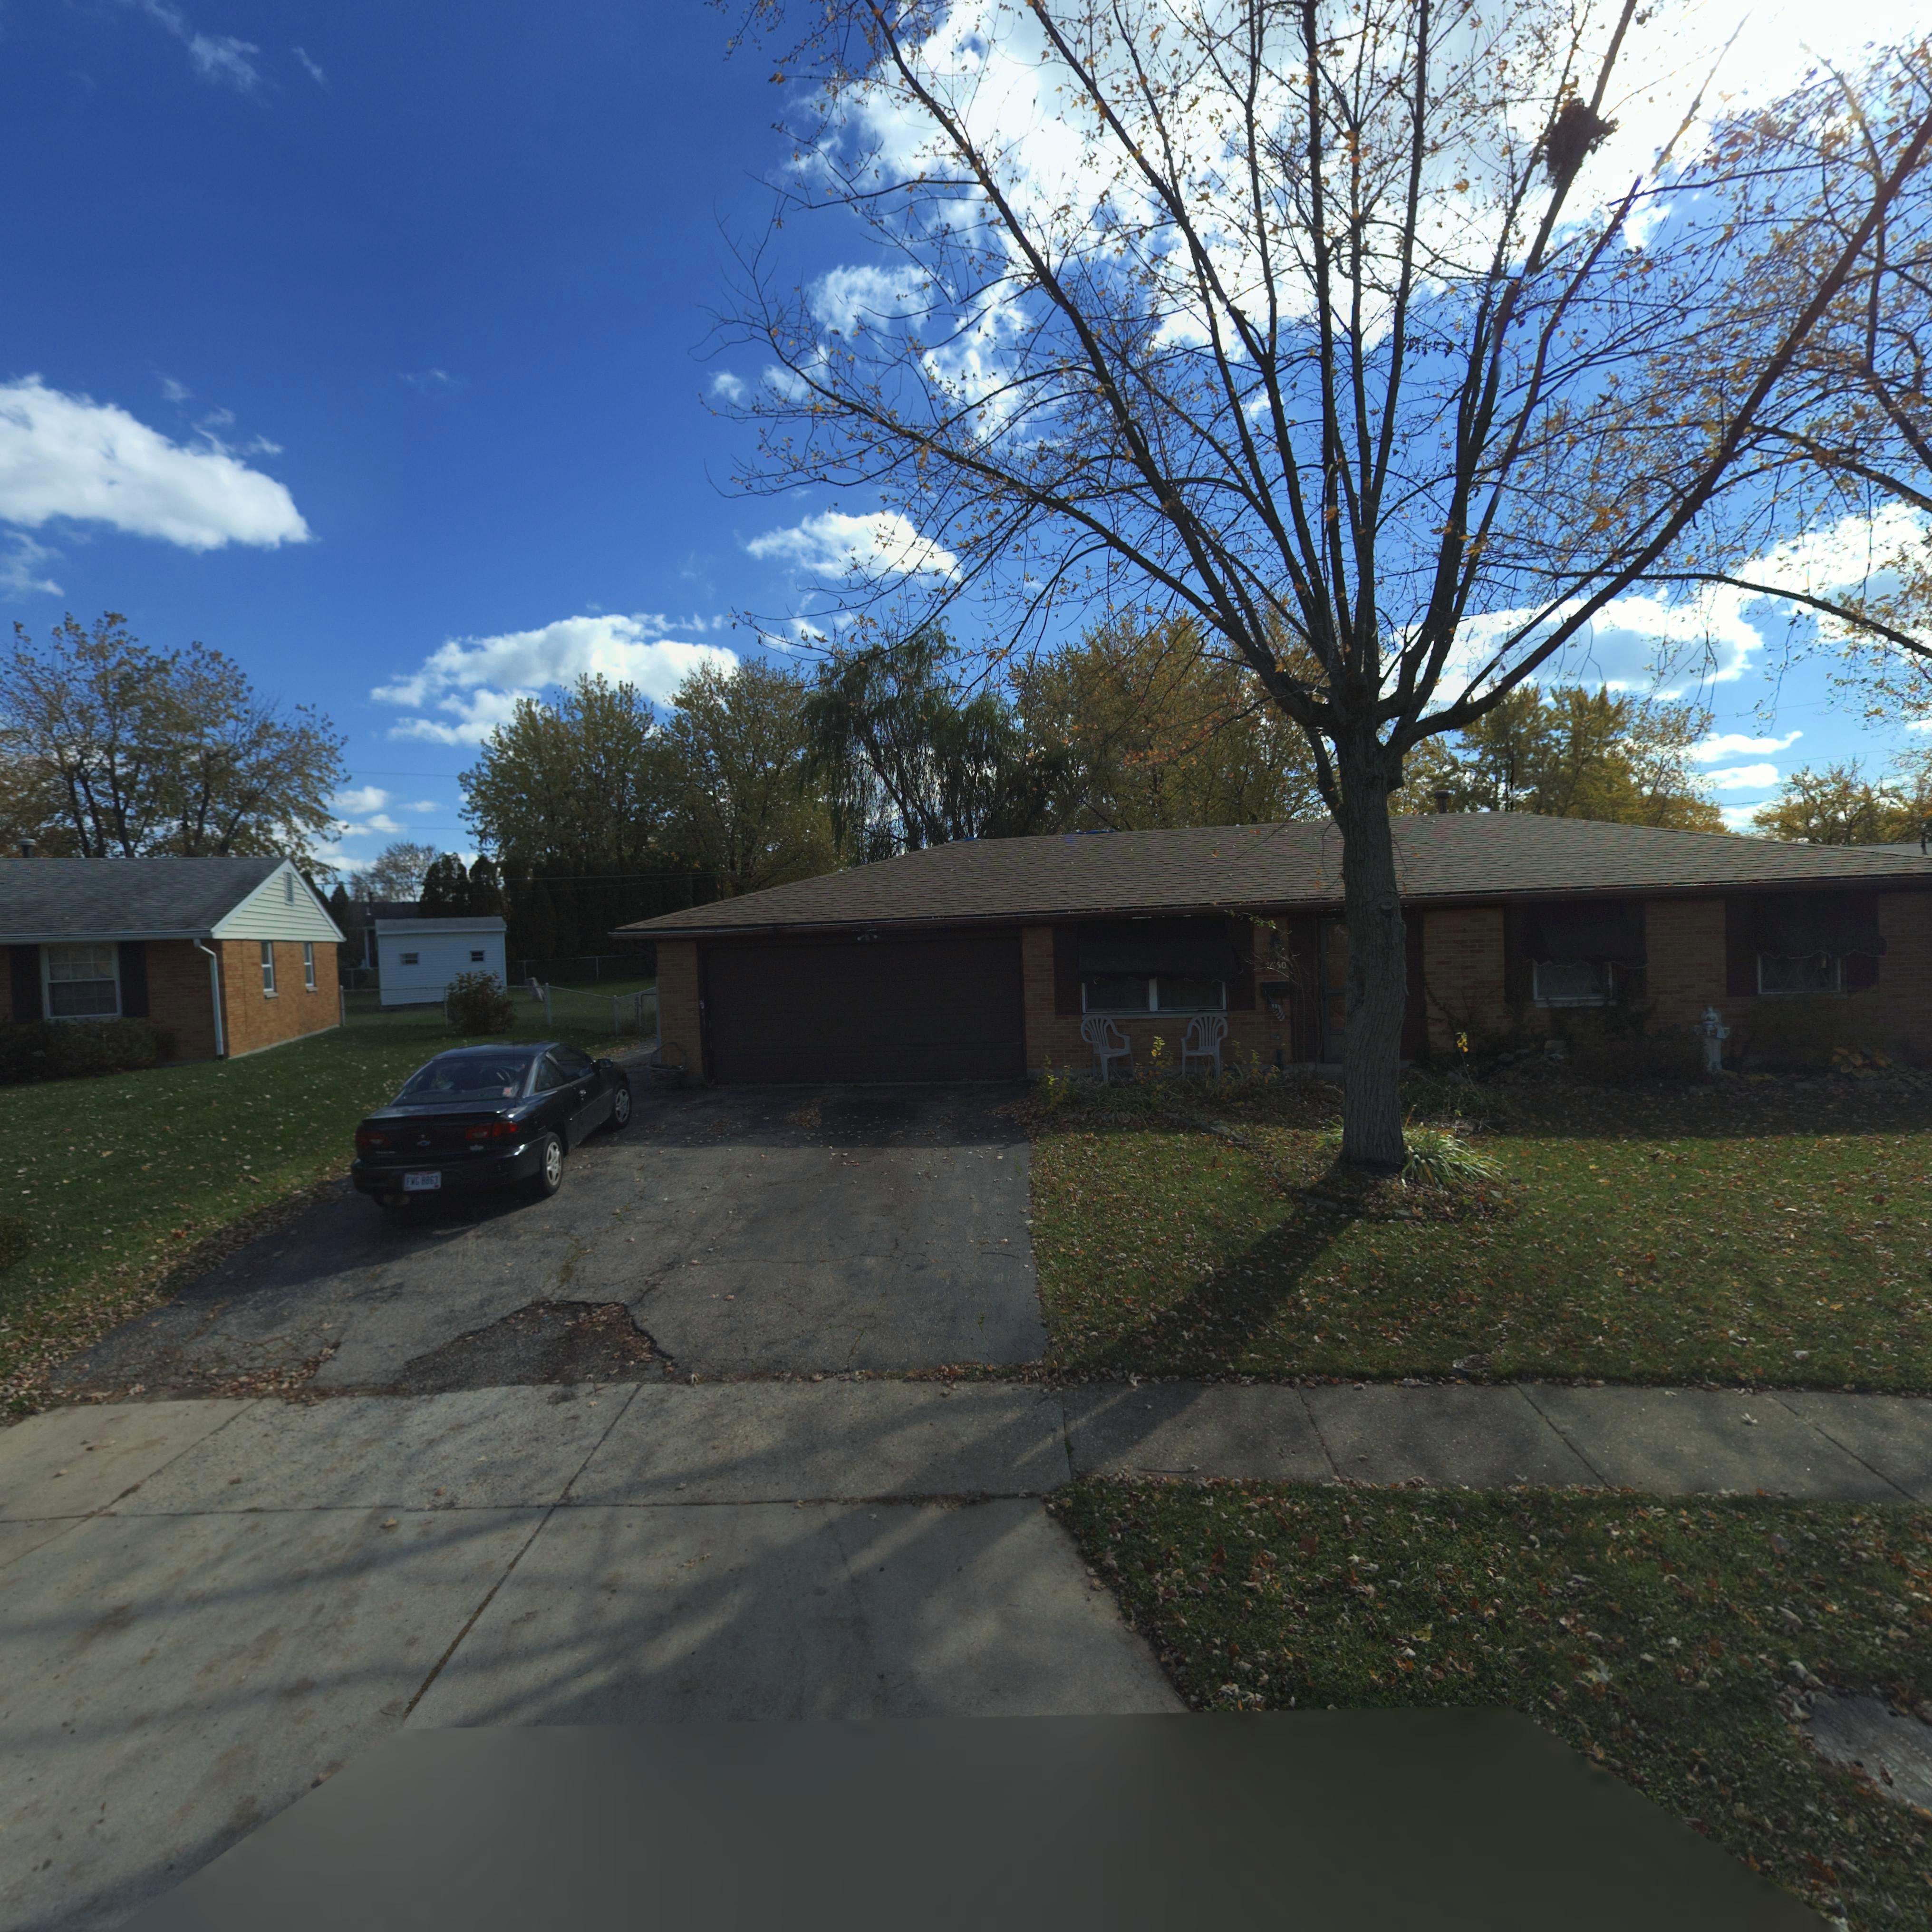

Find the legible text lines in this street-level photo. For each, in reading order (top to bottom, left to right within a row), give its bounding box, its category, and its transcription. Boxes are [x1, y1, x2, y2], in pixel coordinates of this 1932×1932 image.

[1265, 961, 1287, 970] StreetNumber: **50